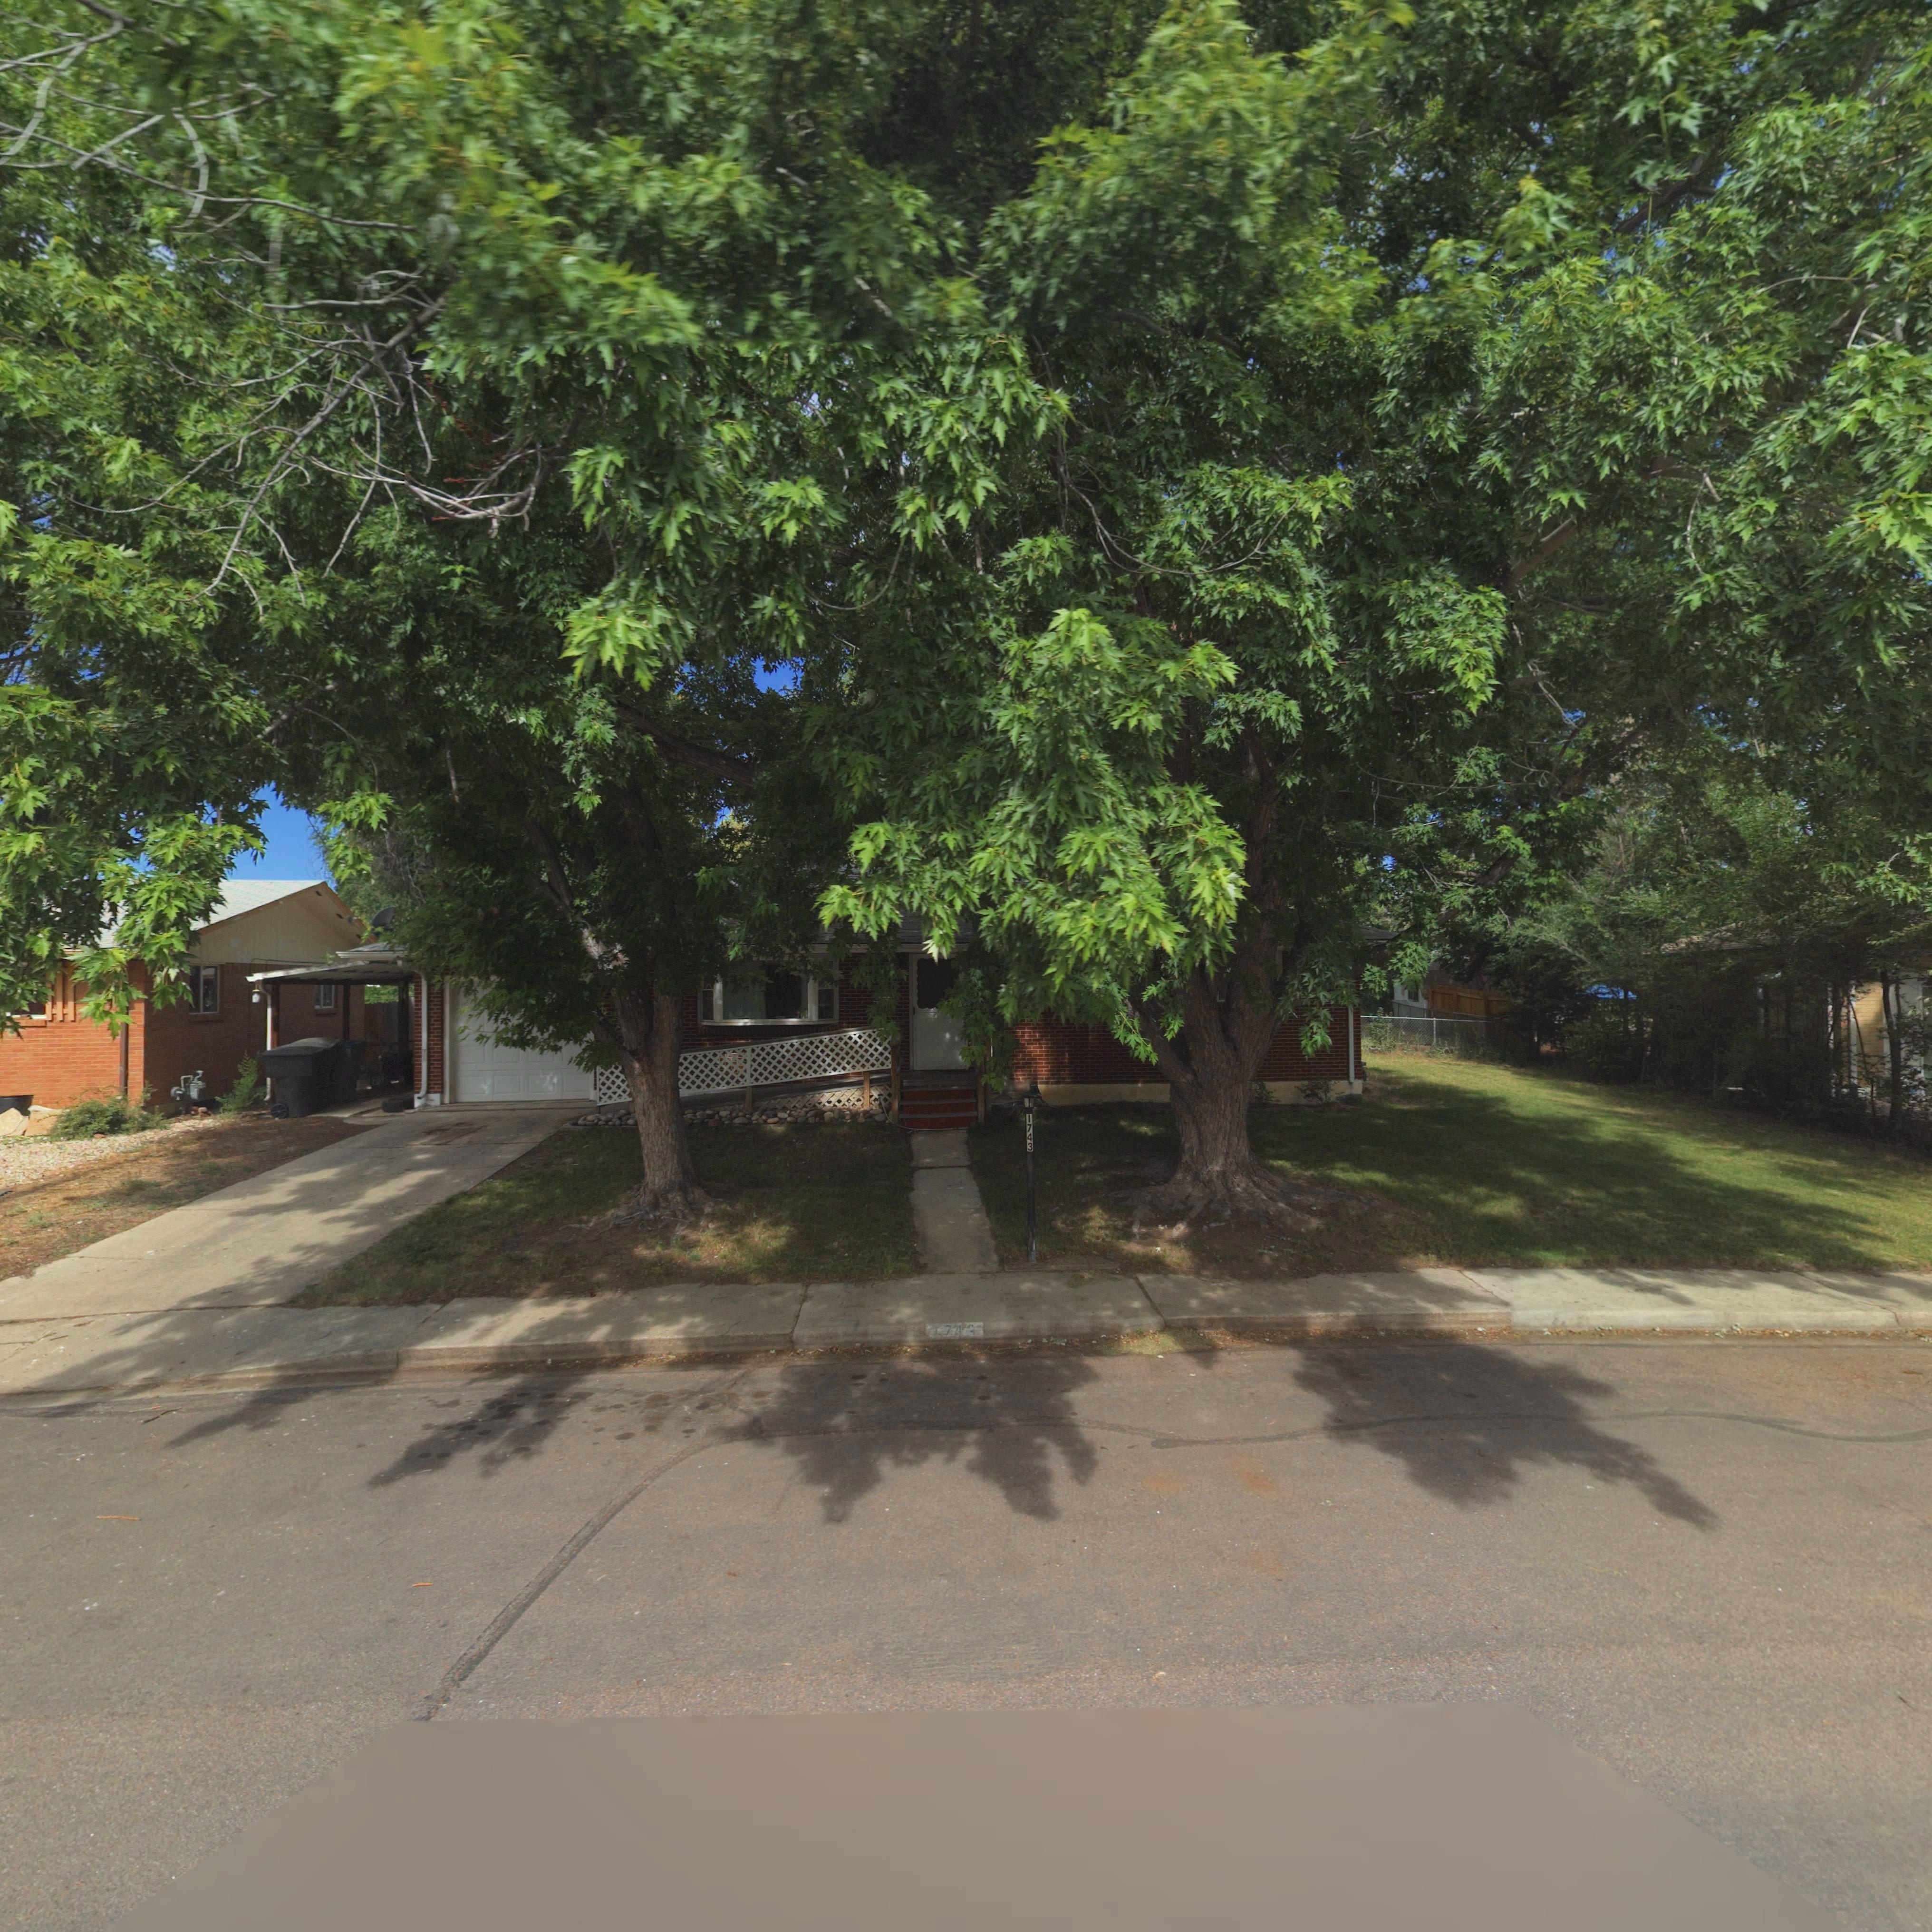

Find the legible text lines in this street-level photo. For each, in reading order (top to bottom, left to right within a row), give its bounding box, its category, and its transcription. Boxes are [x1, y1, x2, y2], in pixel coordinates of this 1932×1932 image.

[1026, 1114, 1033, 1151] StreetNumber: 1743
[933, 1323, 976, 1339] StreetNumber: 174*